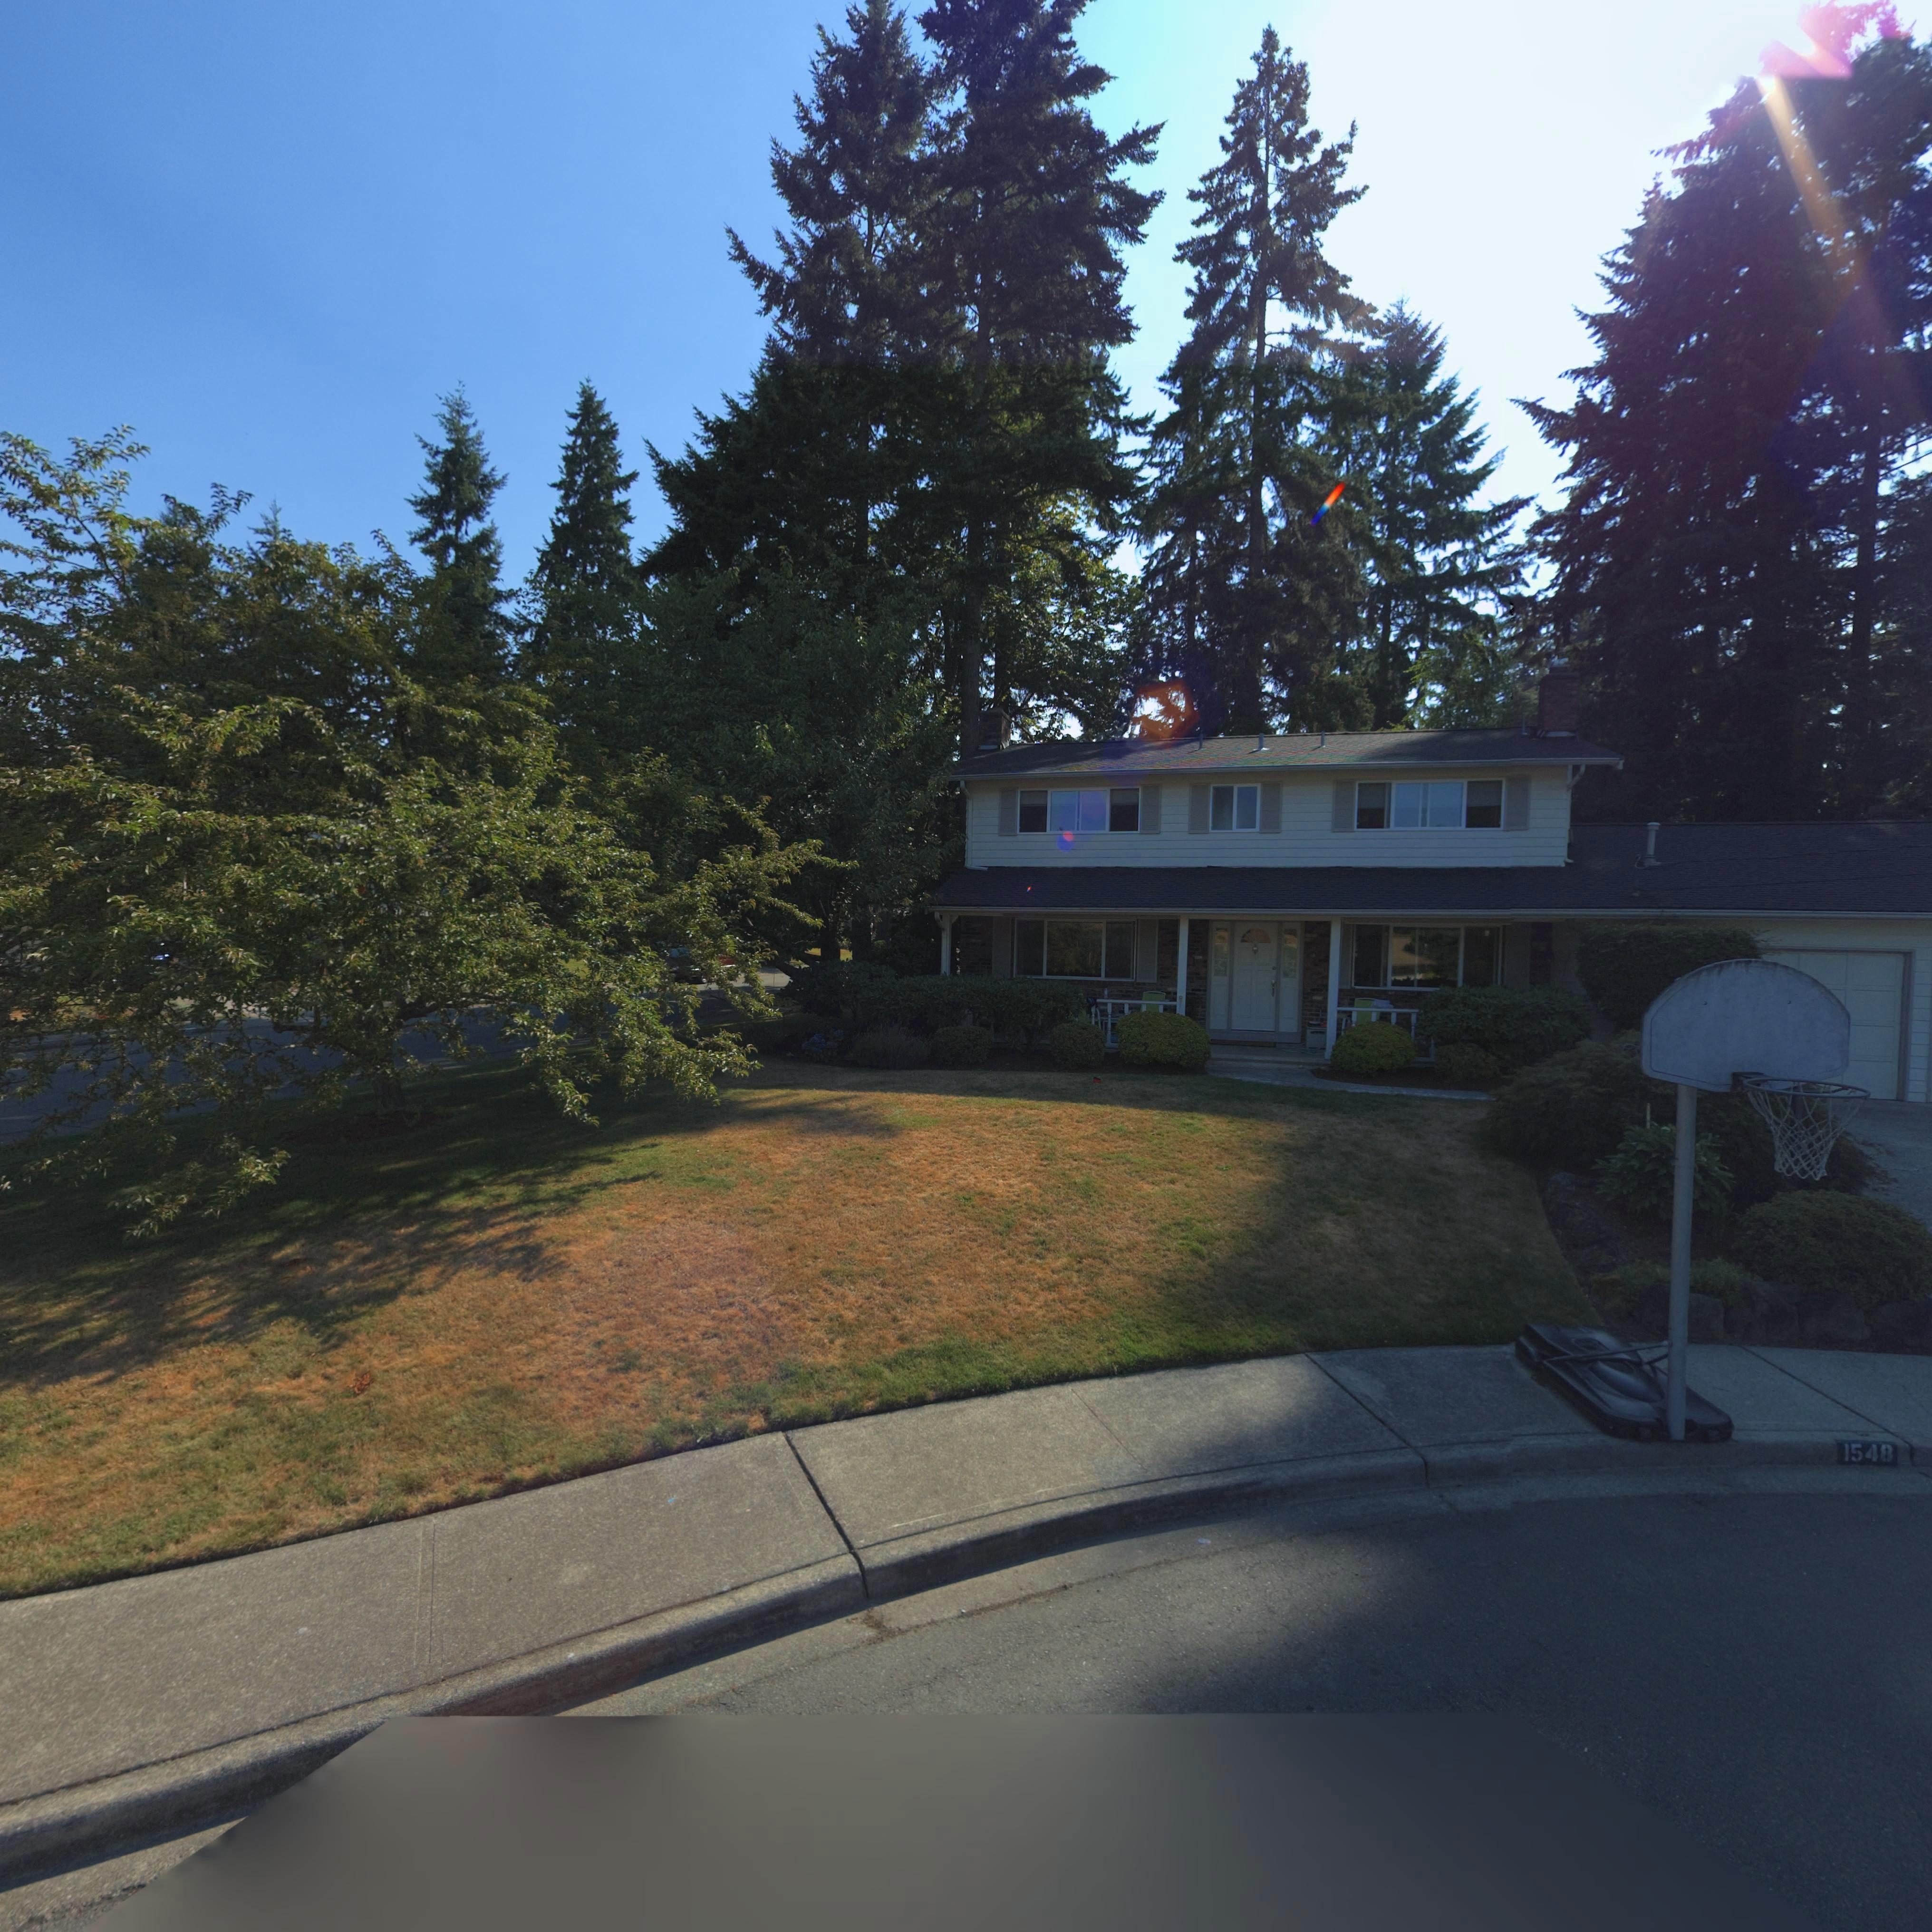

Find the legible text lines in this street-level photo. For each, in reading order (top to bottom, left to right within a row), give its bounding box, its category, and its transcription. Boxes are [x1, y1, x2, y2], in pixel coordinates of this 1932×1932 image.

[1841, 1442, 1894, 1464] StreetNumber: 1548